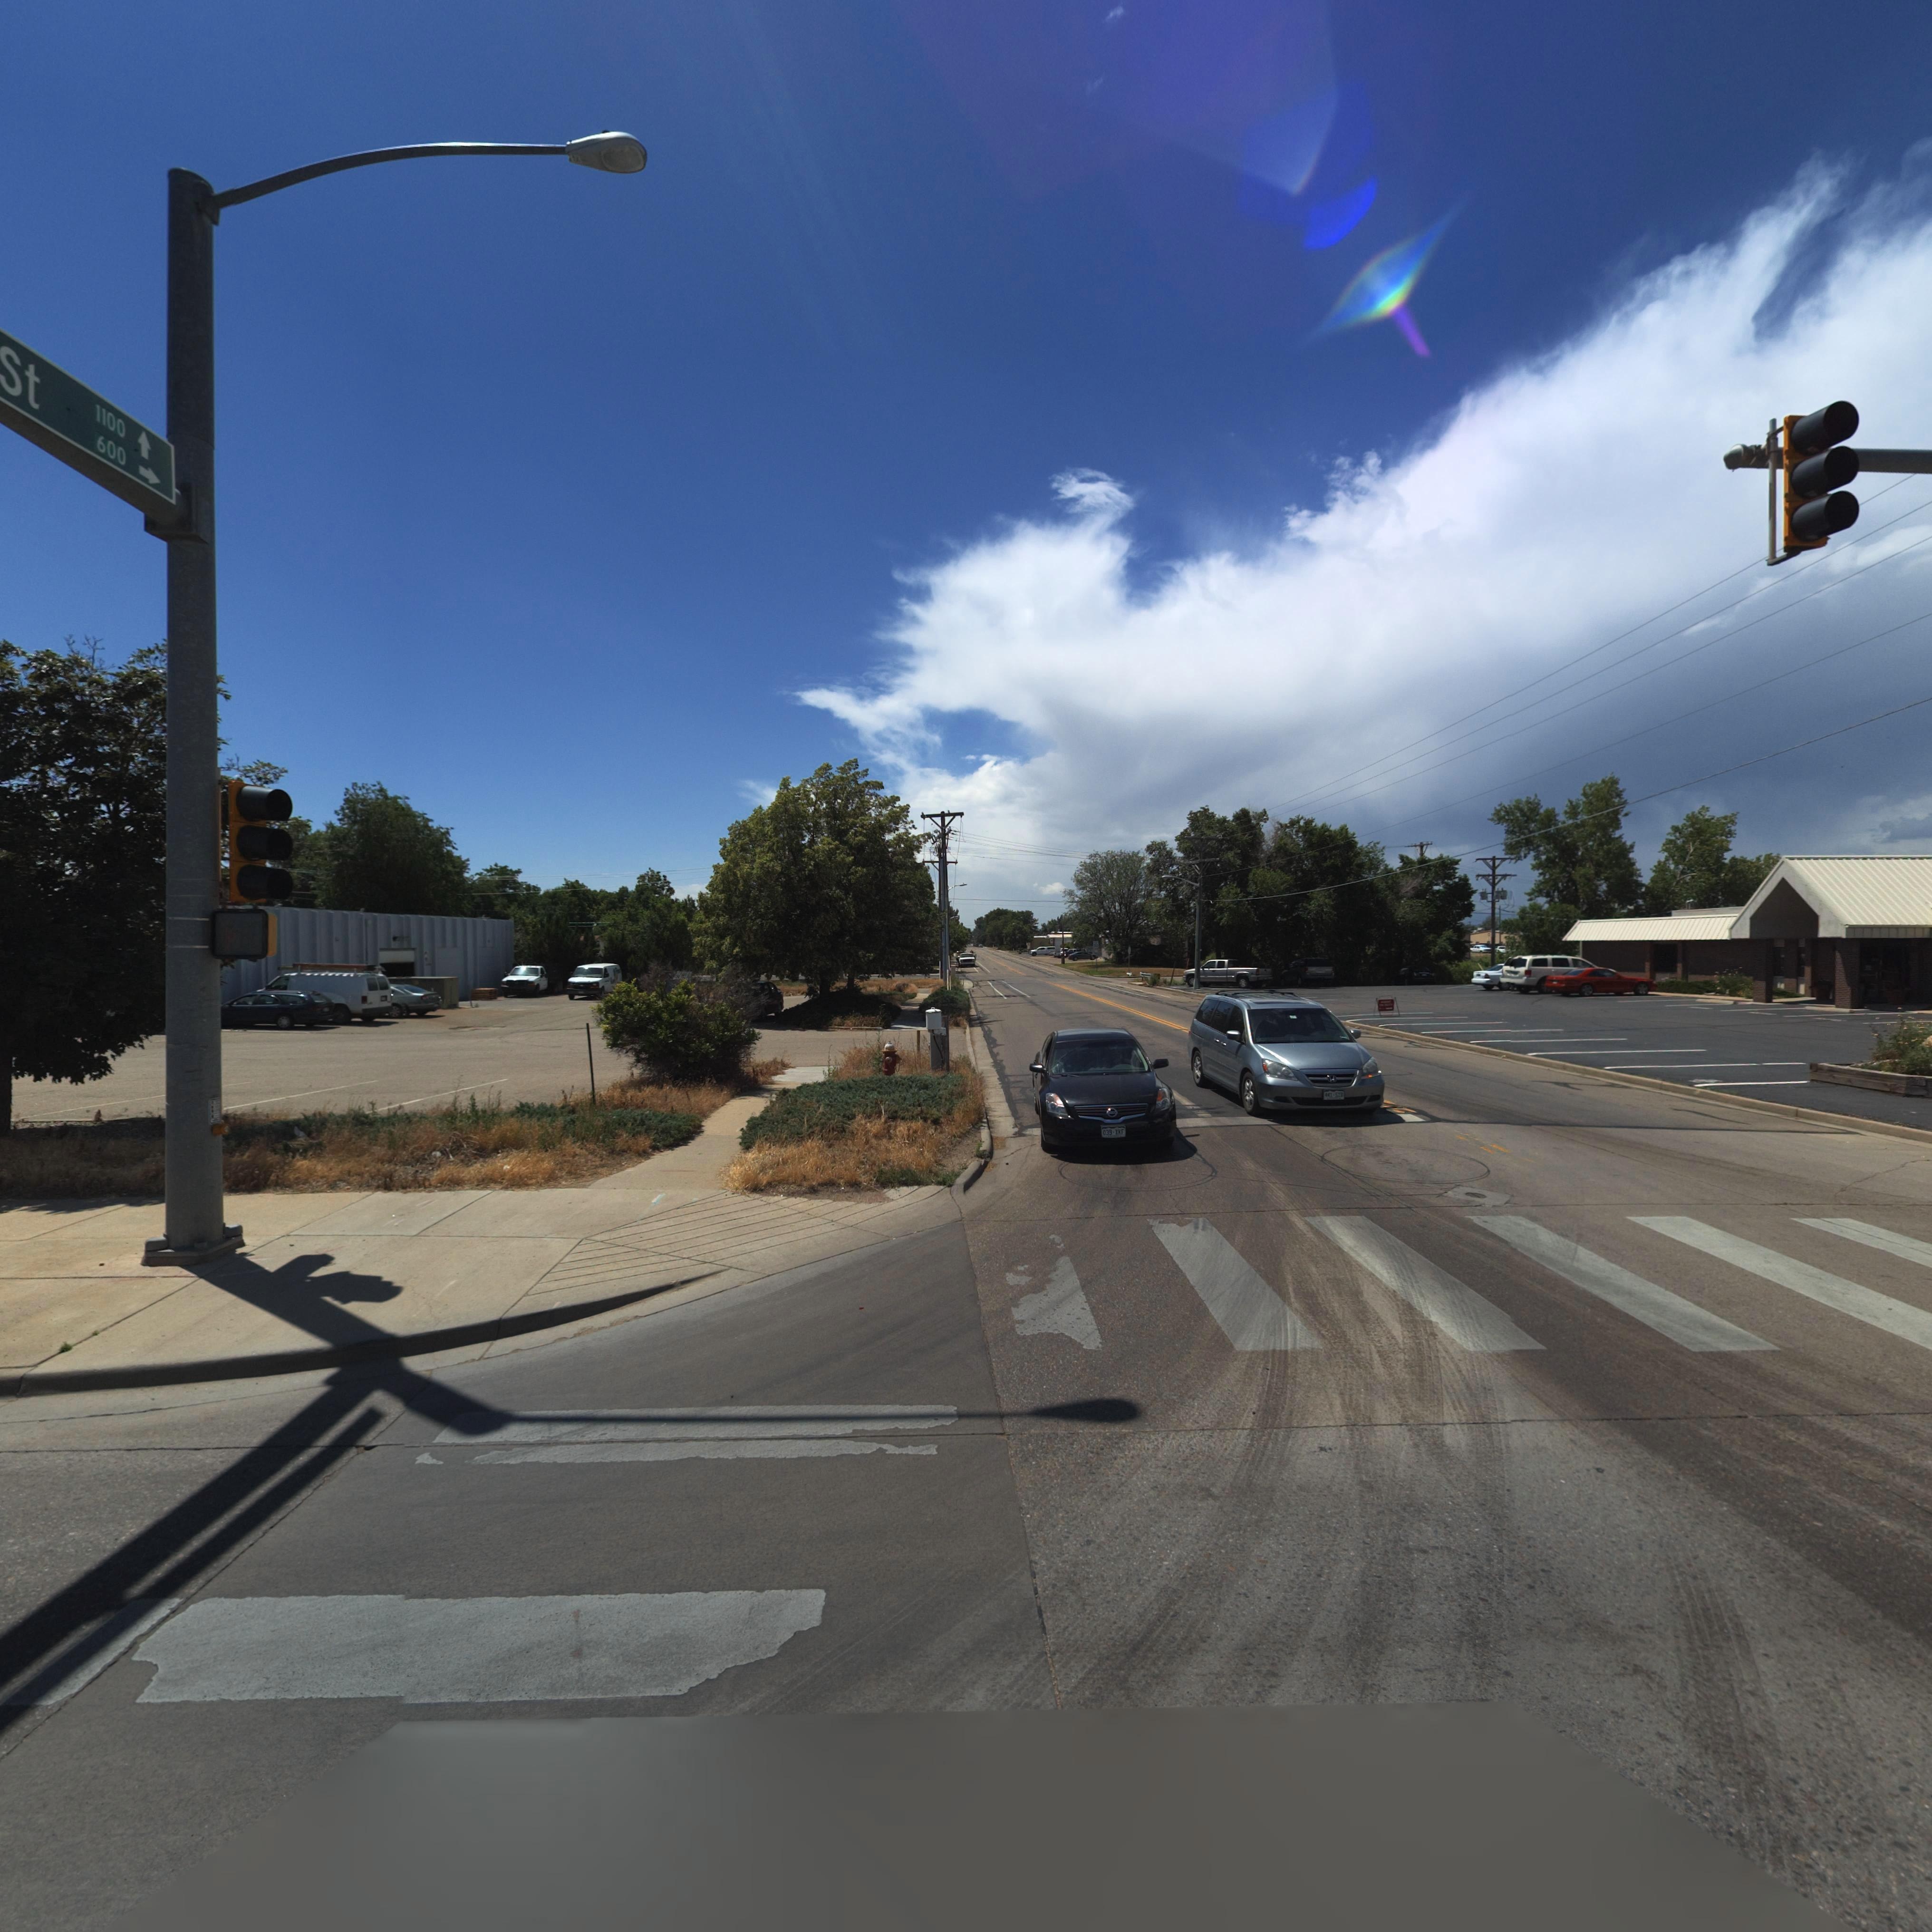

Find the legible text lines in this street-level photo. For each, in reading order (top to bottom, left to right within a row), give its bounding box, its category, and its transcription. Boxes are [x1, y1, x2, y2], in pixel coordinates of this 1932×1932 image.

[0, 345, 41, 410] StreetName: St
[95, 403, 126, 438] StreetNumberRange: 1100
[96, 435, 162, 484] StreetNumberRange: 600->